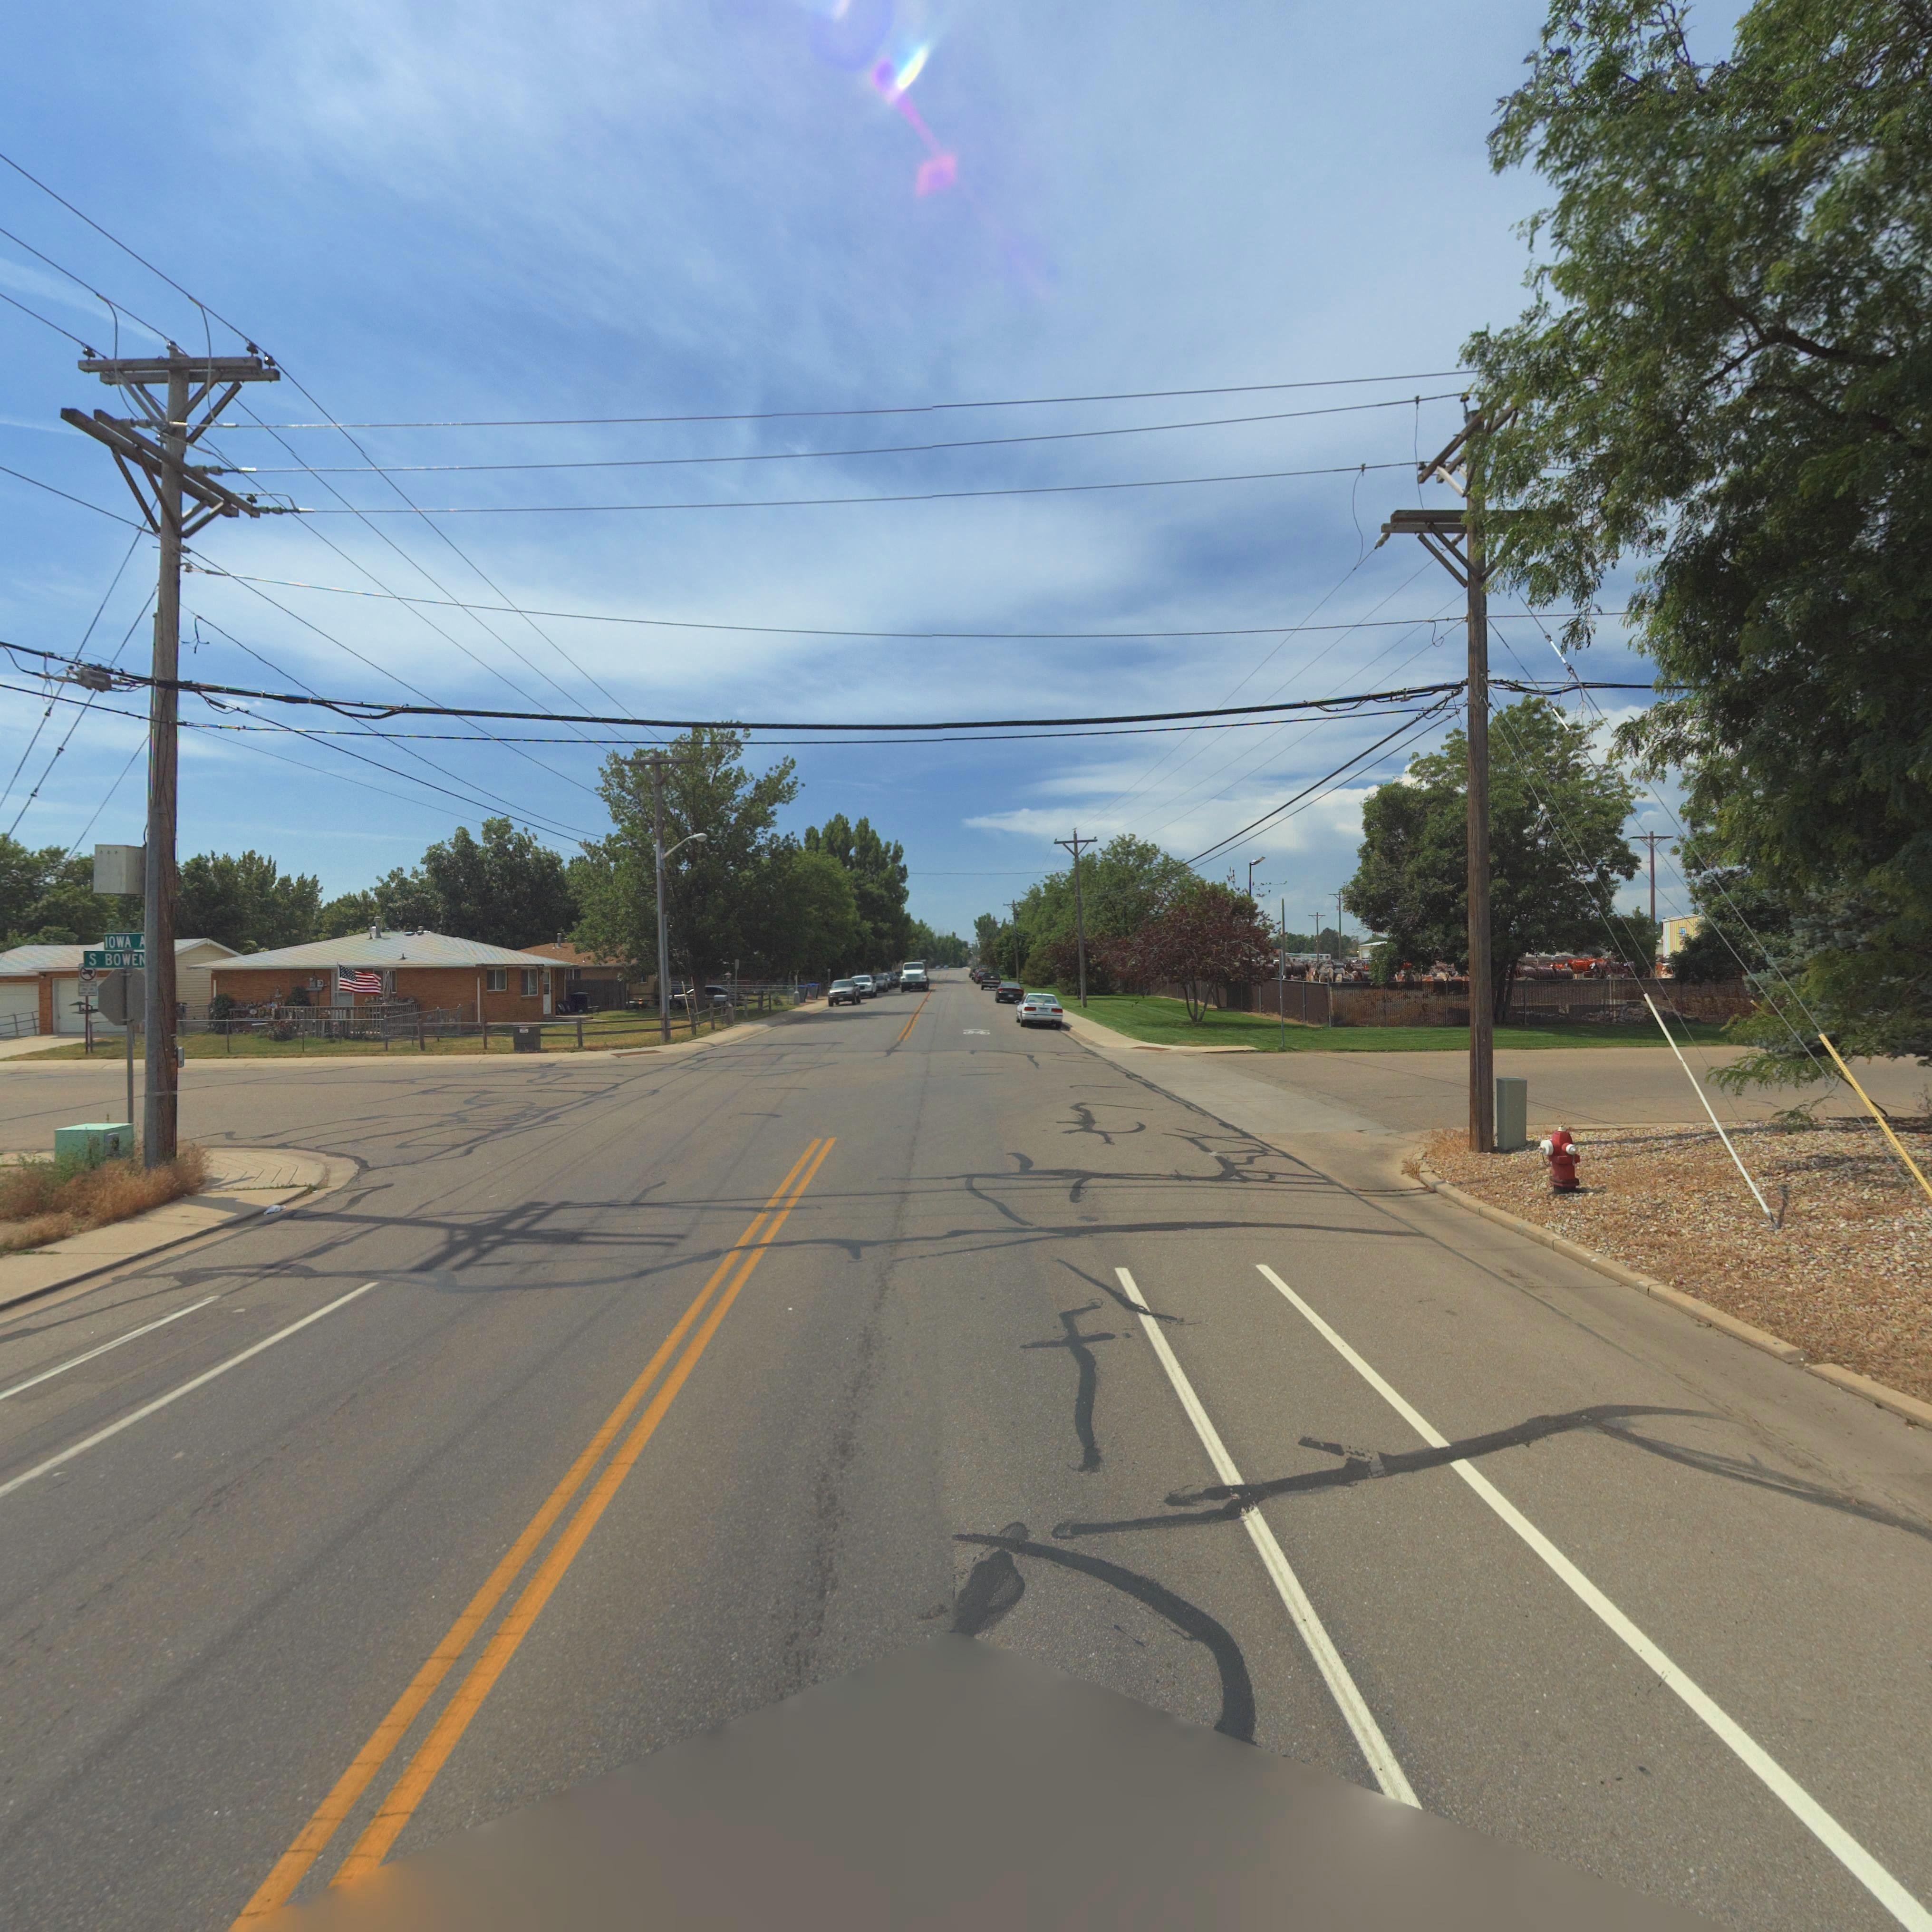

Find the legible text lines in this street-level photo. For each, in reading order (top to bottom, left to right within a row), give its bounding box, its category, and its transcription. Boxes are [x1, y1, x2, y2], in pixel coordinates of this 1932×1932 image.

[104, 935, 146, 948] StreetName: IOWA A
[88, 952, 145, 966] StreetName: S BOWEN